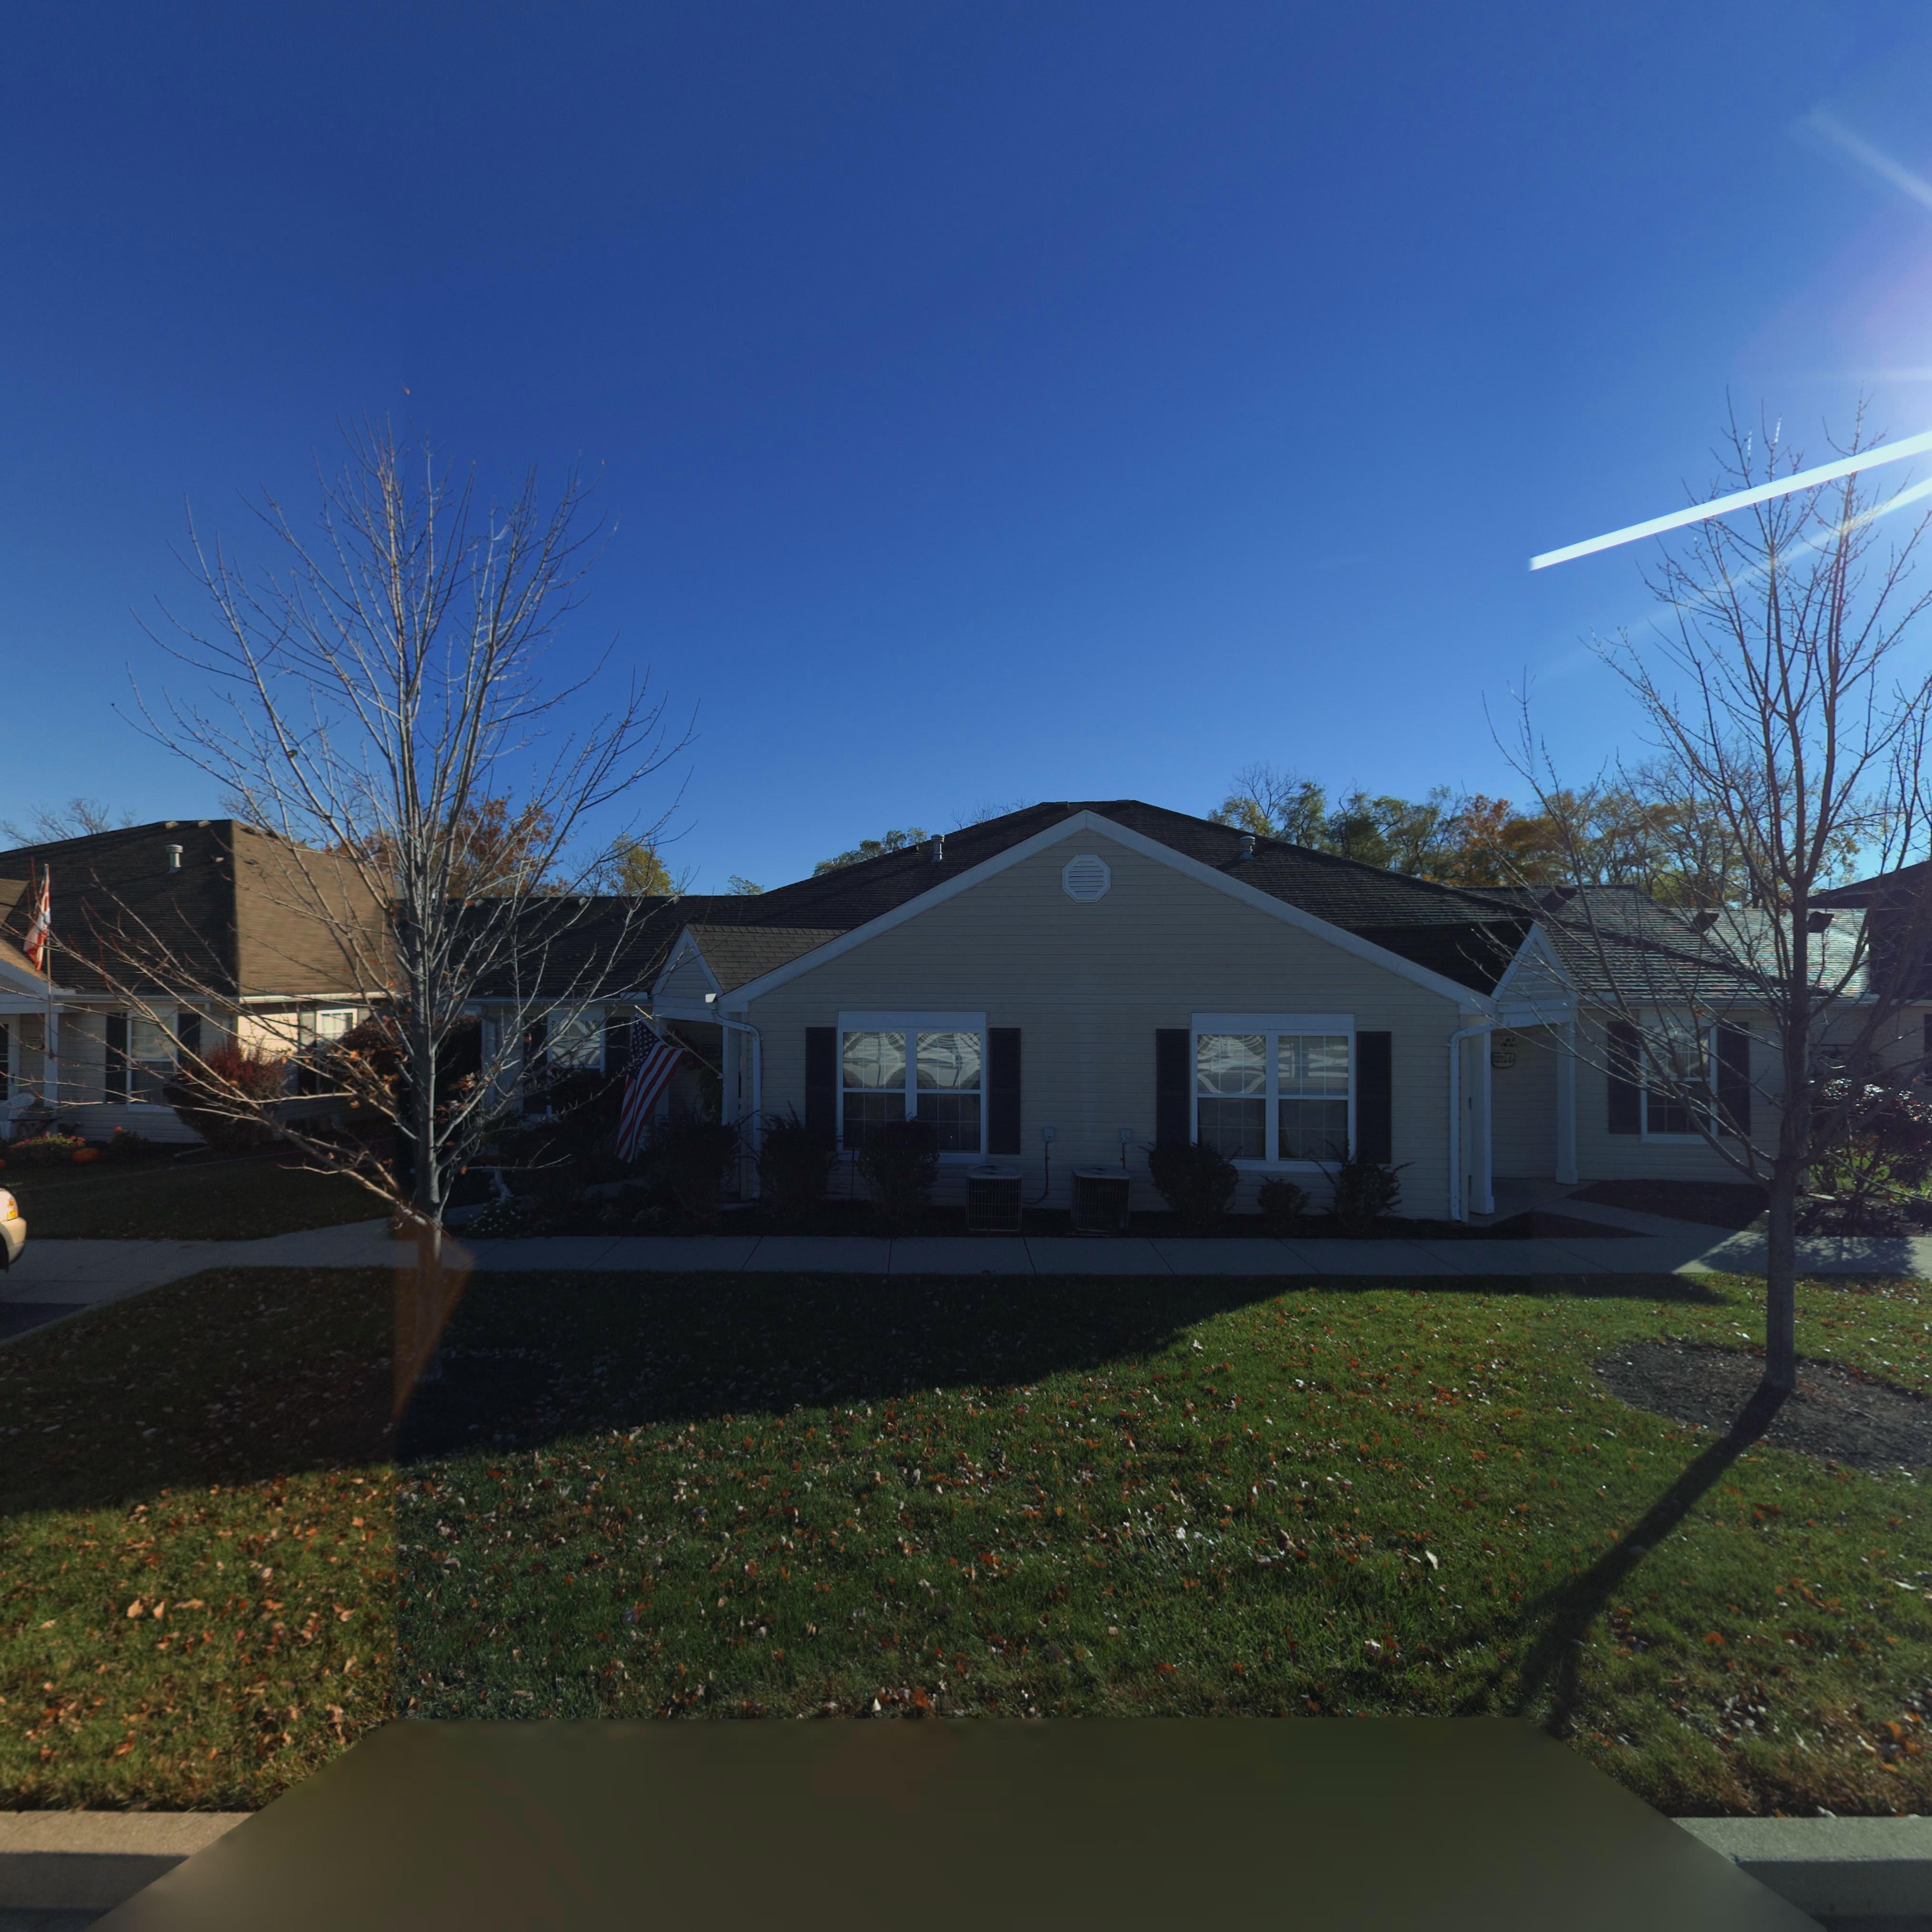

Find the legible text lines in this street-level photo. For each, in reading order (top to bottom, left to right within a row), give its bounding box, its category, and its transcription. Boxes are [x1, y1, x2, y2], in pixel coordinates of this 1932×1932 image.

[1492, 1054, 1514, 1063] StreetNumber: 5272-D